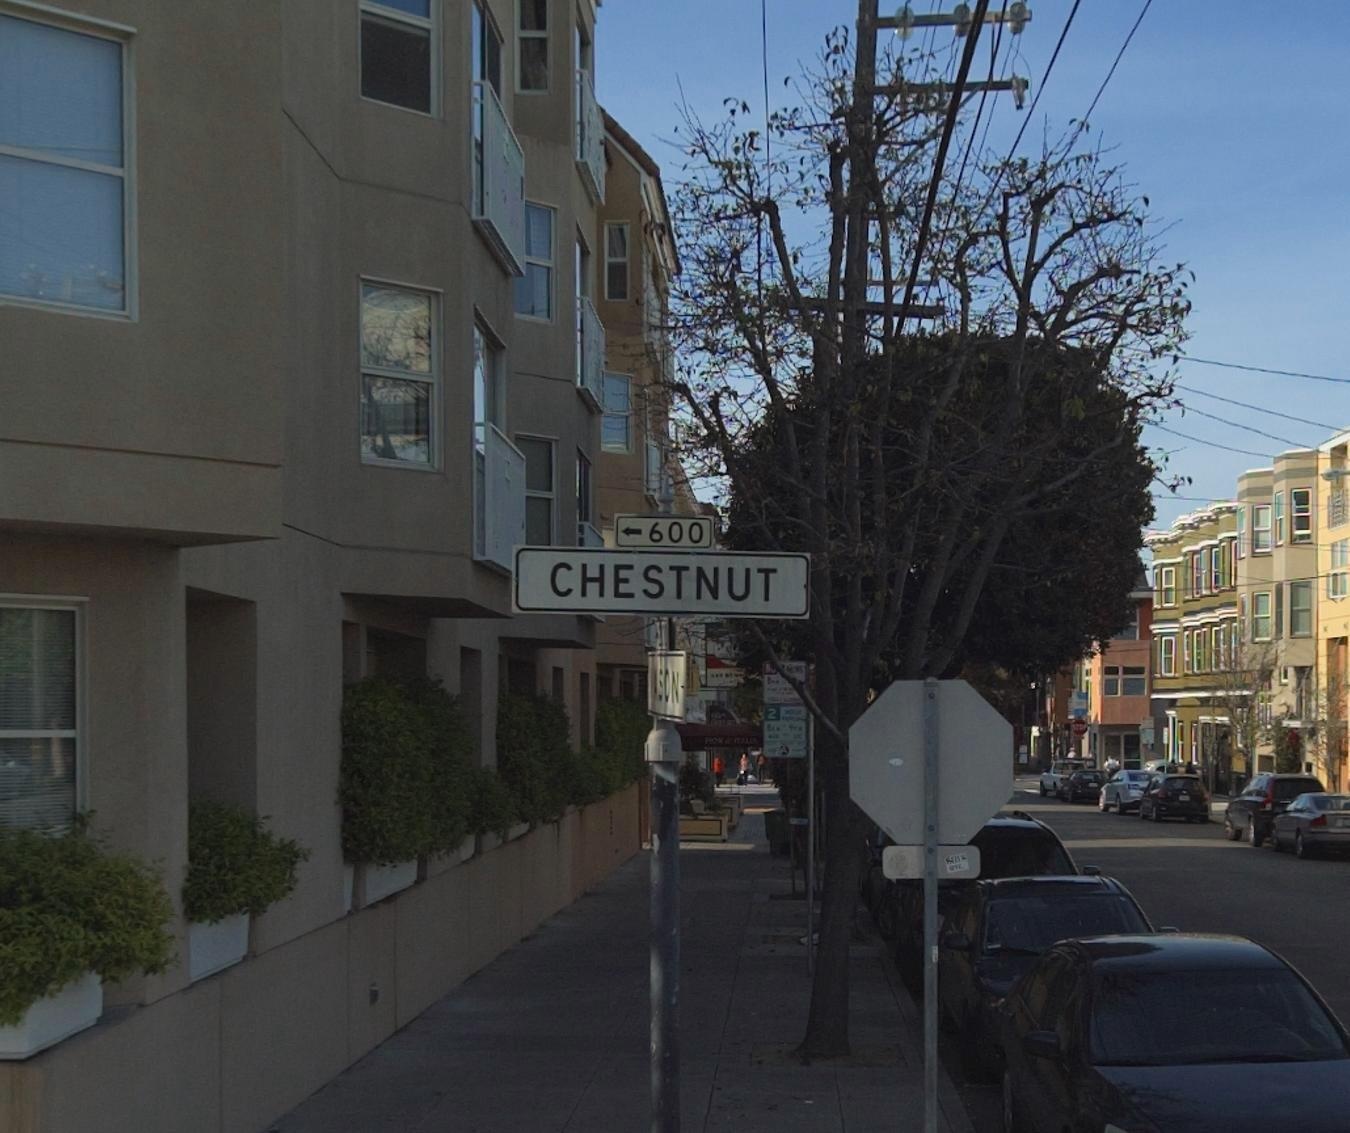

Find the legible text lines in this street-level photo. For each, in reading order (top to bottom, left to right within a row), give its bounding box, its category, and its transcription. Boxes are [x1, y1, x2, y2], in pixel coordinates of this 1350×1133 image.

[619, 519, 706, 546] StreetNumberRange: <-600
[546, 558, 783, 606] StreetName: CHESTNUT
[655, 664, 682, 708] StreetName: SON
[764, 705, 780, 721] None: 2